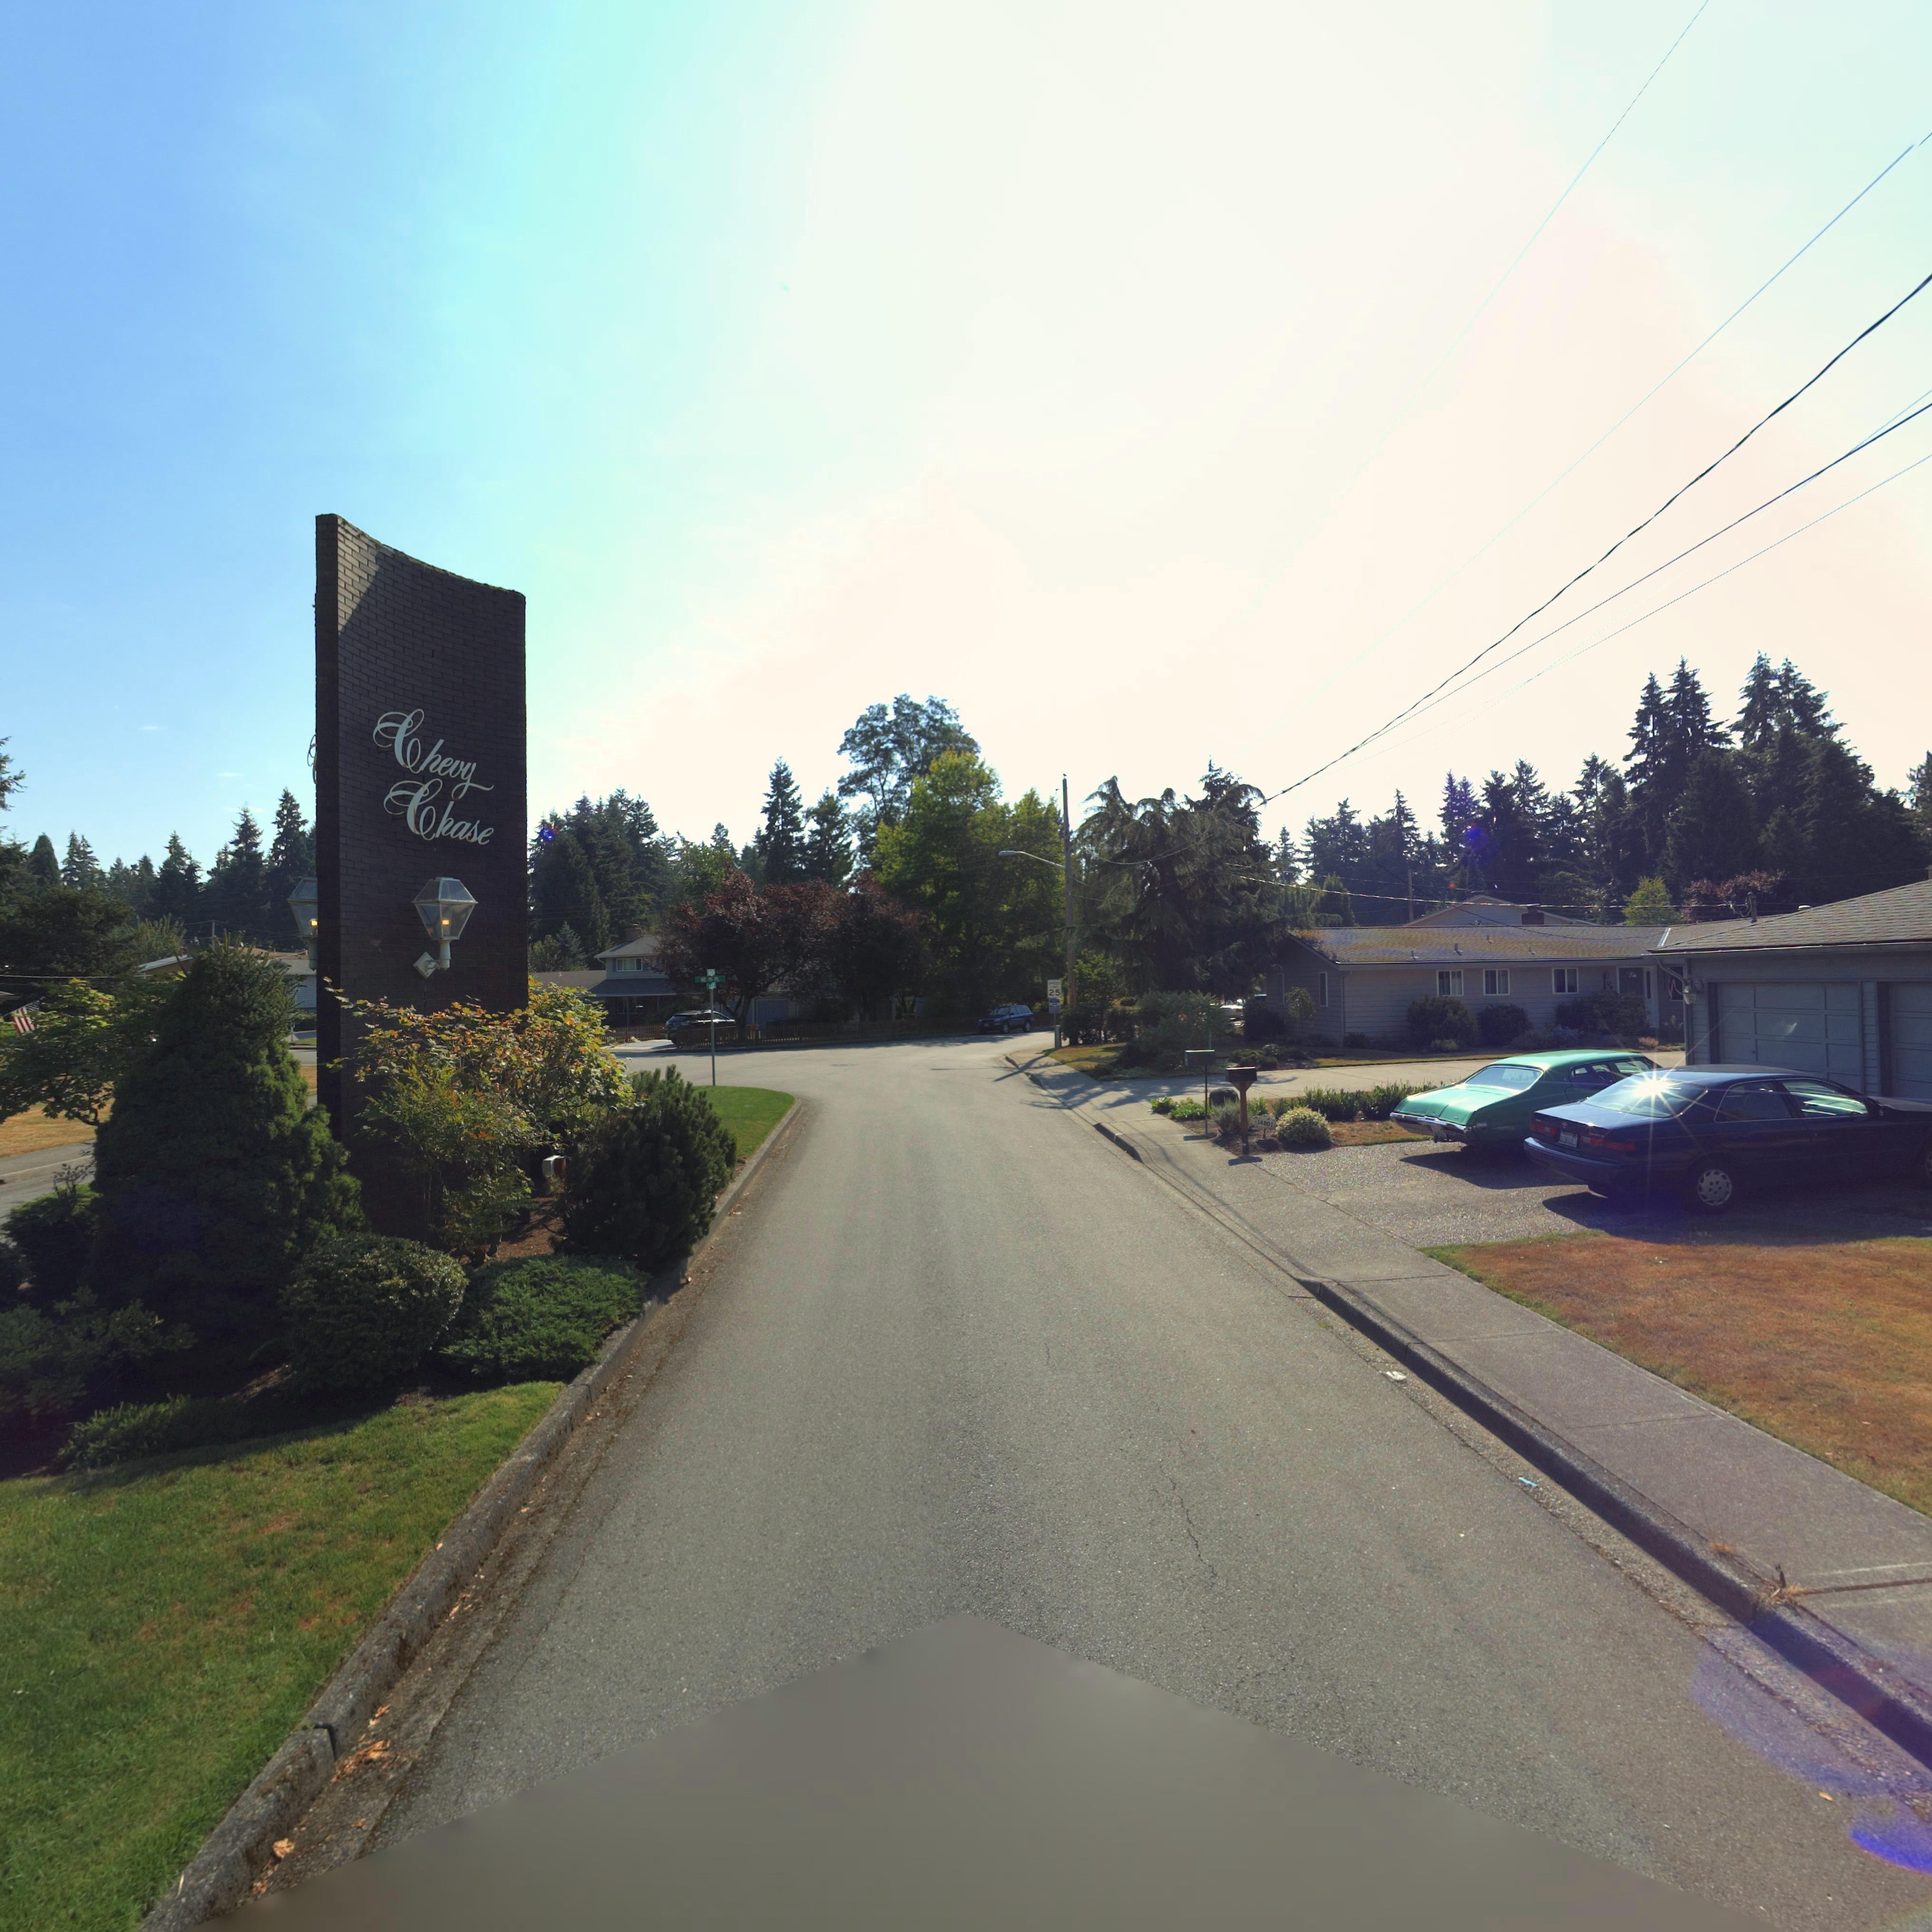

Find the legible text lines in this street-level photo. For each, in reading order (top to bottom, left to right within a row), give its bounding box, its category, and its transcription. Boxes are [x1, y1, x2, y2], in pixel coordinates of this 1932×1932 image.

[700, 976, 720, 982] StreetName: NE 15 PL
[1257, 1119, 1273, 1128] StreetNumber: 14801